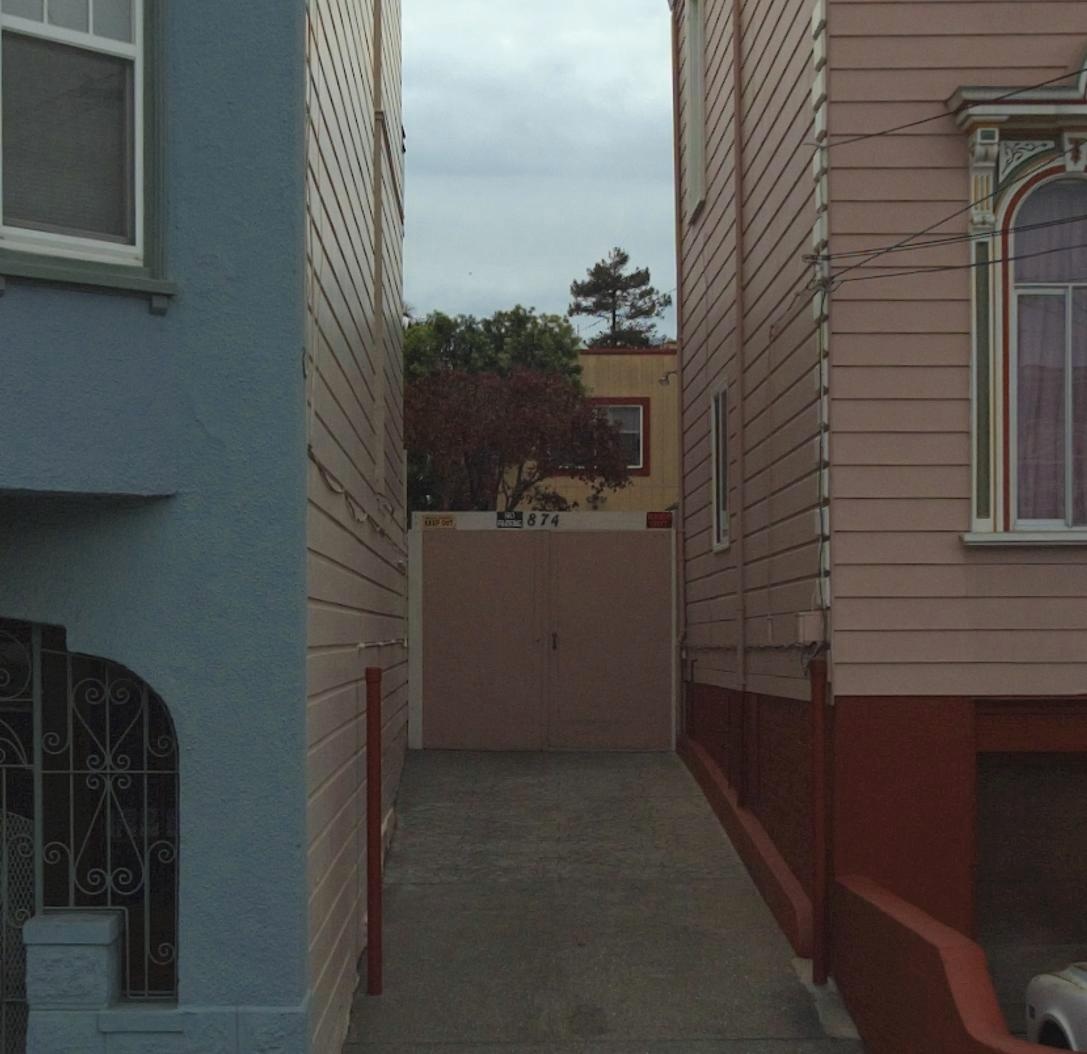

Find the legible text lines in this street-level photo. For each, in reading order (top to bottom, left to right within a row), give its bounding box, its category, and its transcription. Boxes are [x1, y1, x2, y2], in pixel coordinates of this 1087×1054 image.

[526, 512, 560, 527] StreetNumber: 874